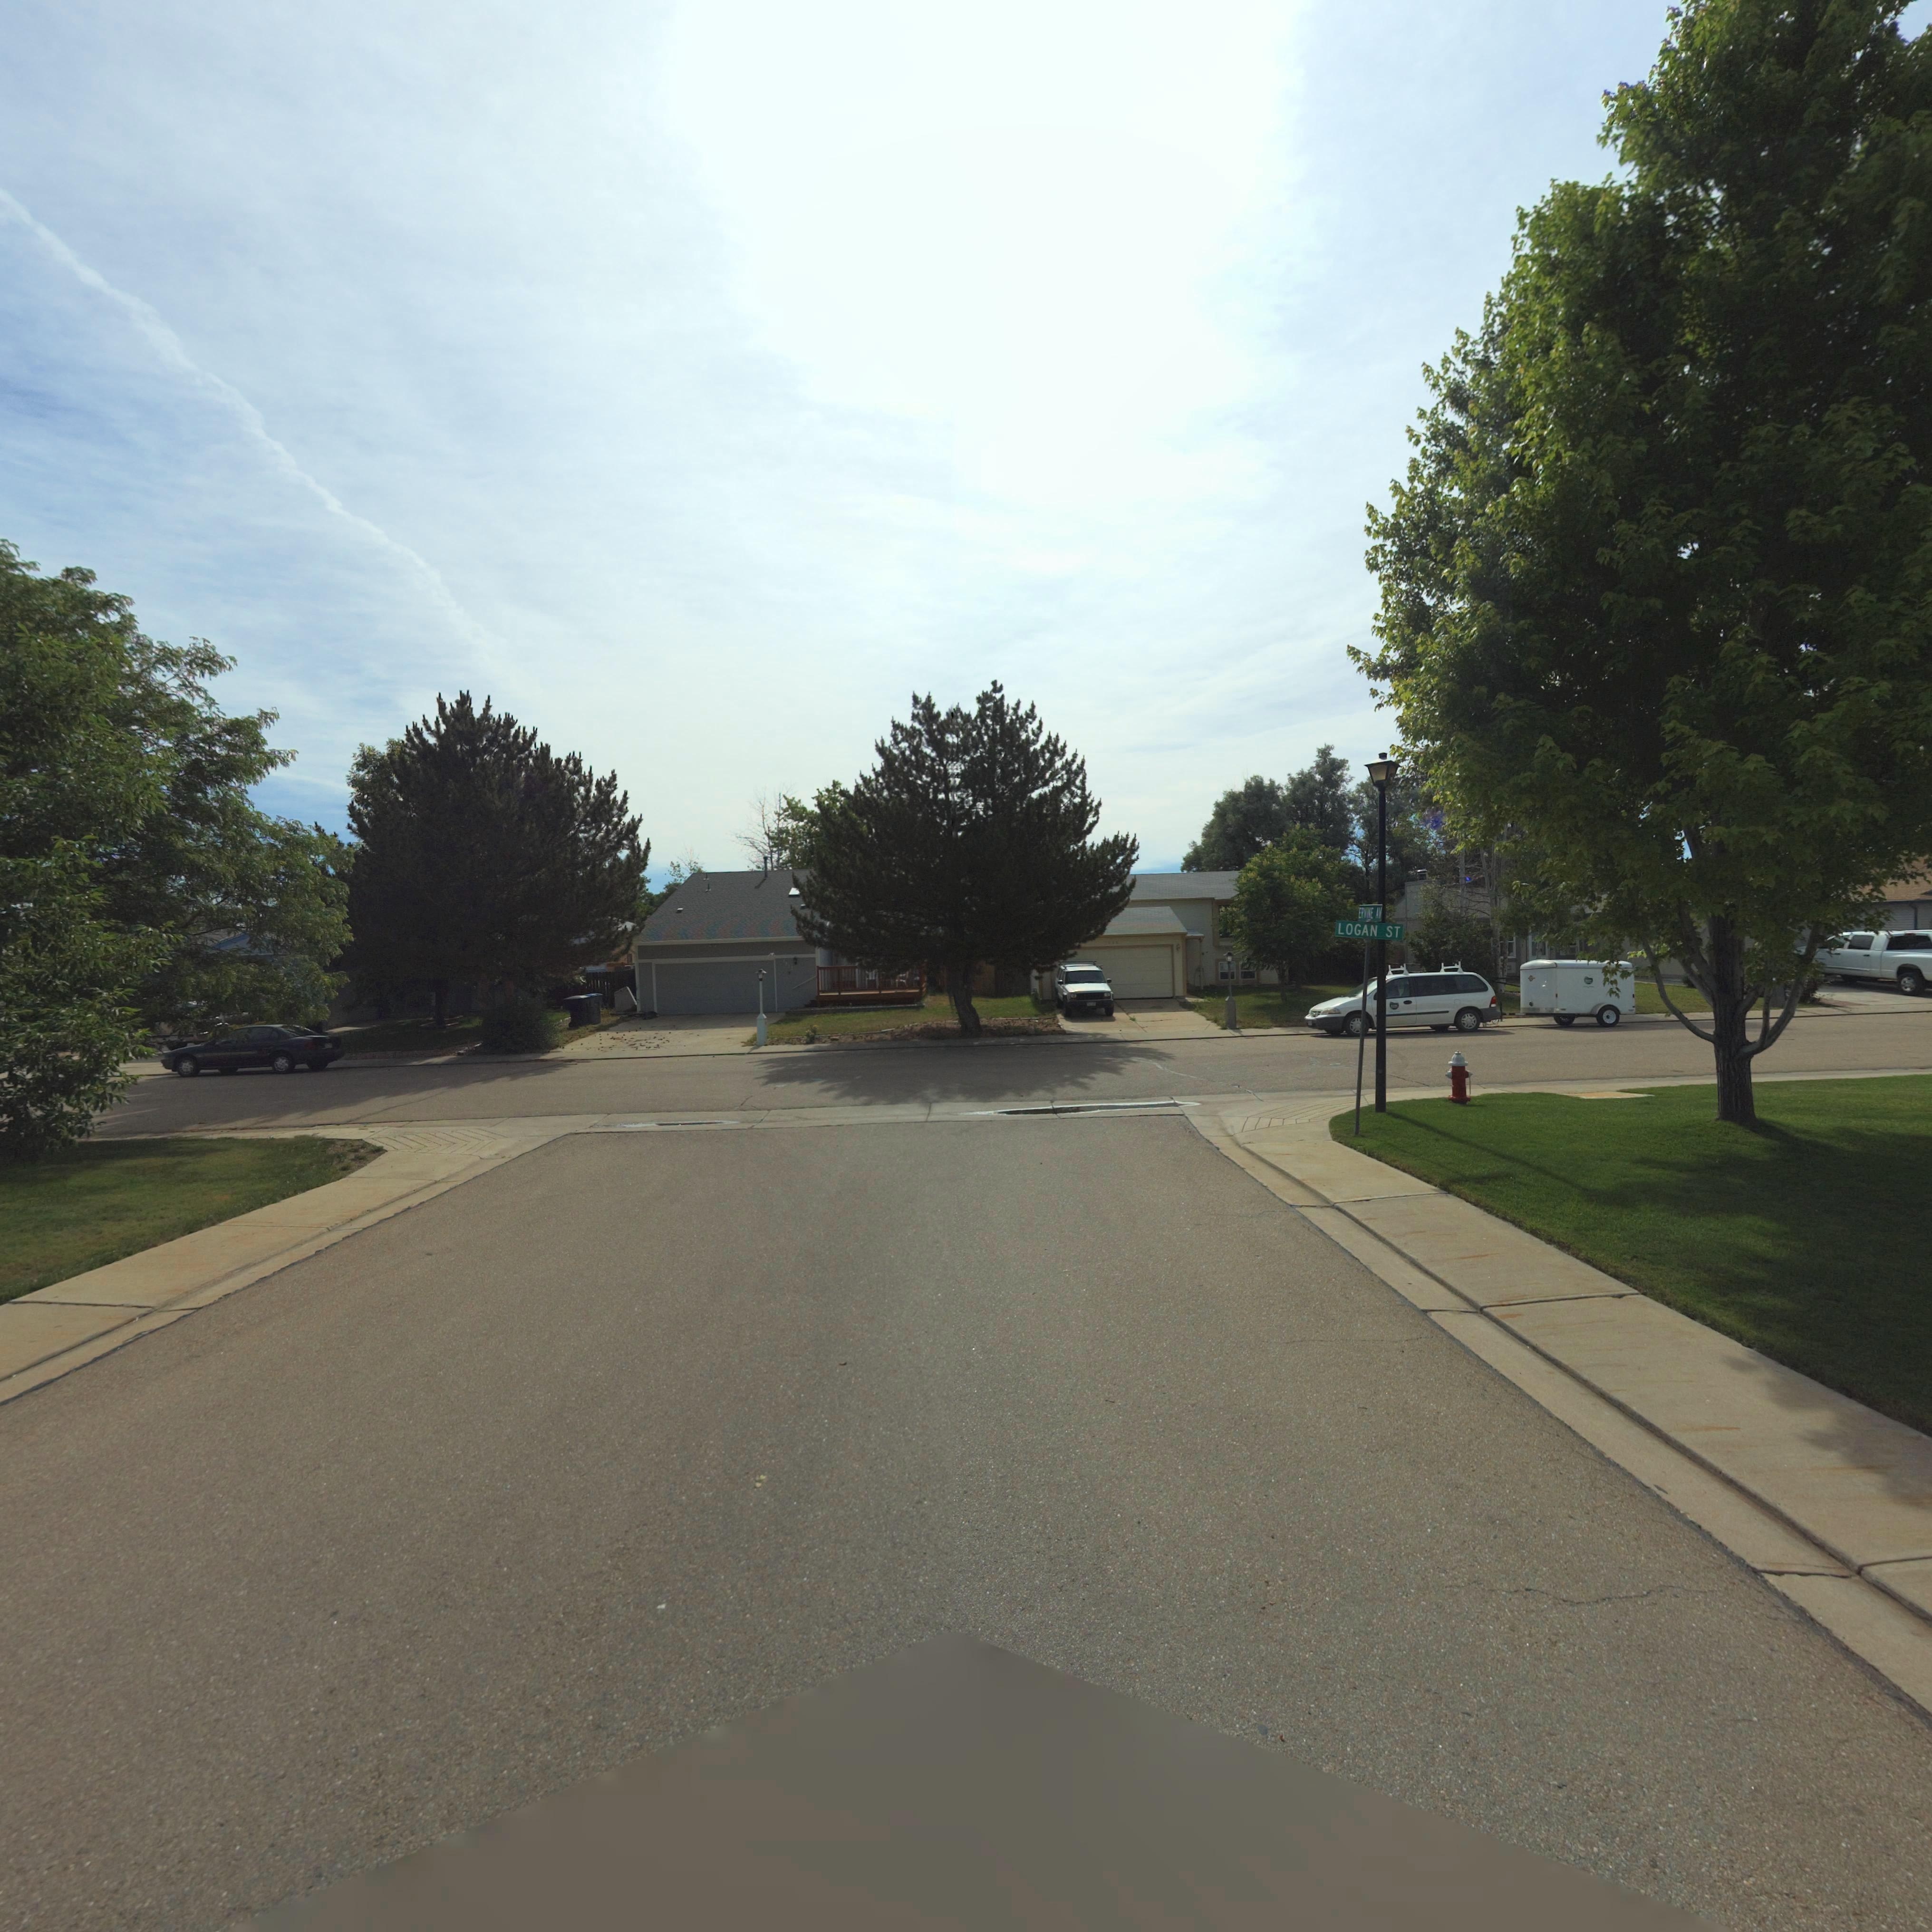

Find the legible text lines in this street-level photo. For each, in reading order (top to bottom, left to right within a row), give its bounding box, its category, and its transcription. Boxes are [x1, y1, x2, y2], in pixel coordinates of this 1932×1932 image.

[1358, 907, 1382, 918] StreetName: ERVINE AV
[1338, 922, 1401, 938] StreetName: LOGAN ST
[782, 959, 793, 970] StreetNumber: 1*13